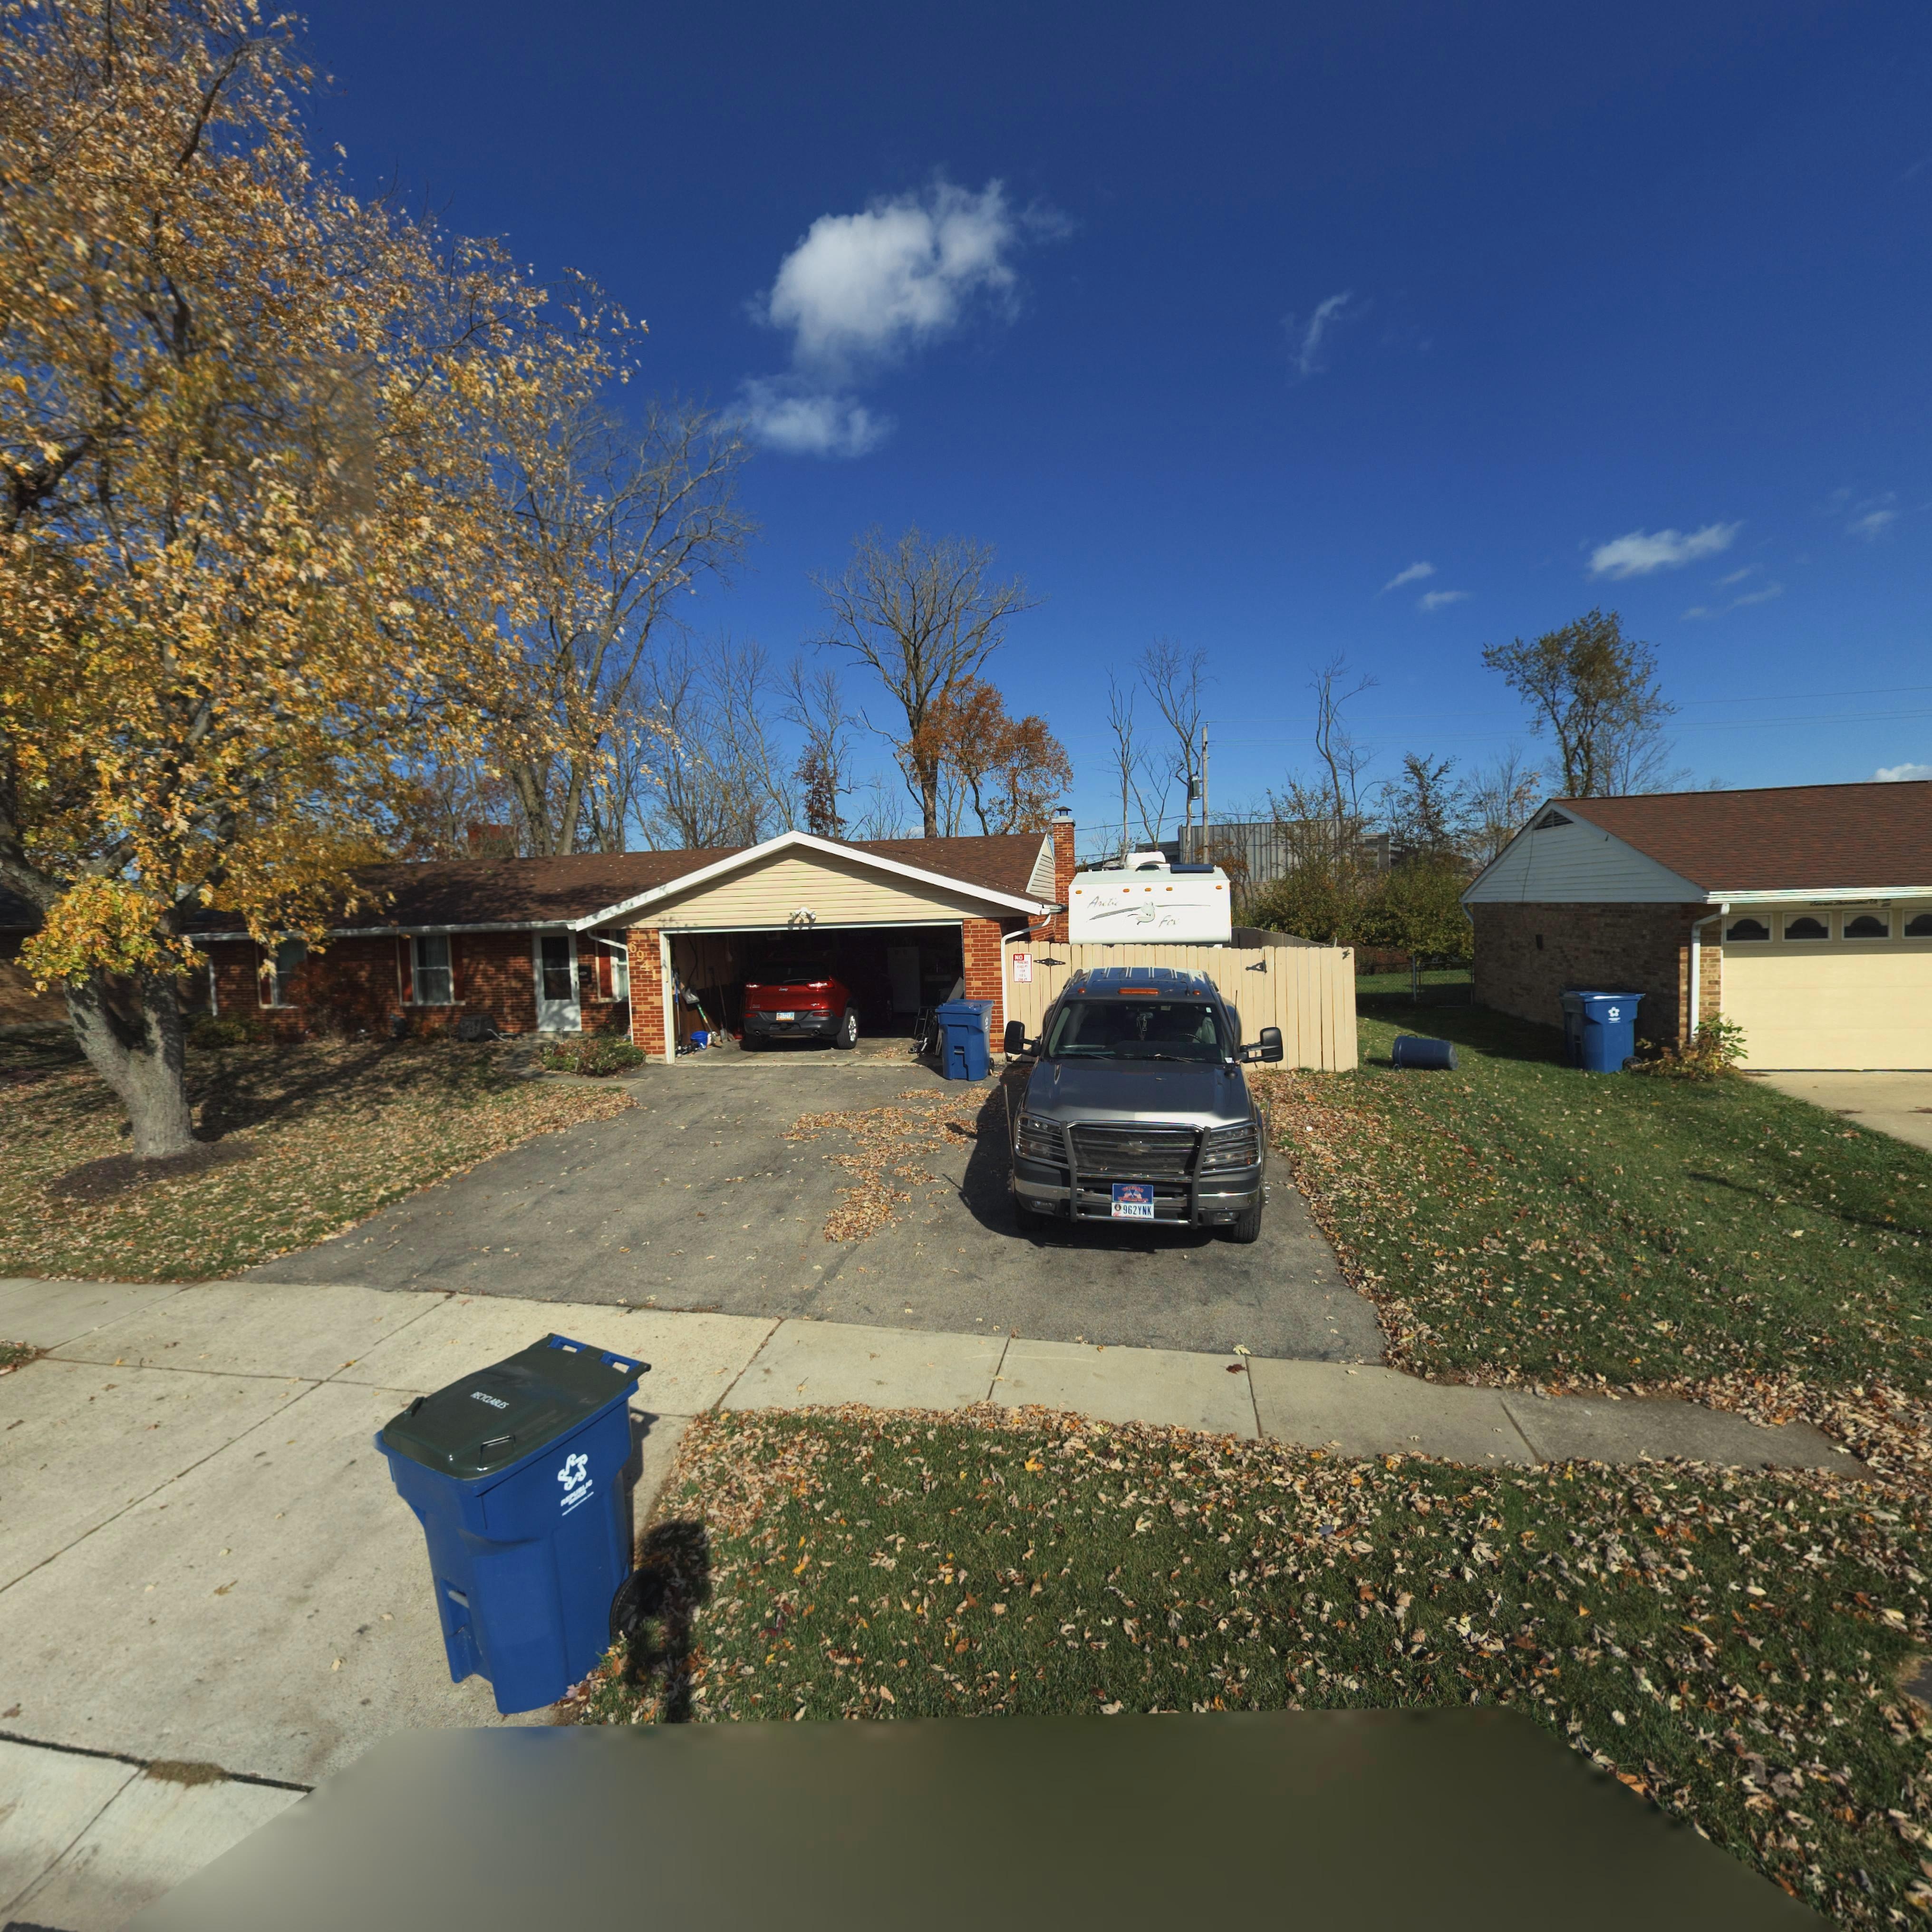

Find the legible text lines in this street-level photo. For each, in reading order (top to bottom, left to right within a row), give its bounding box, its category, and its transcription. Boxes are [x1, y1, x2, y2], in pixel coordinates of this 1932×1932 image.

[628, 940, 658, 982] StreetNumber: 6941